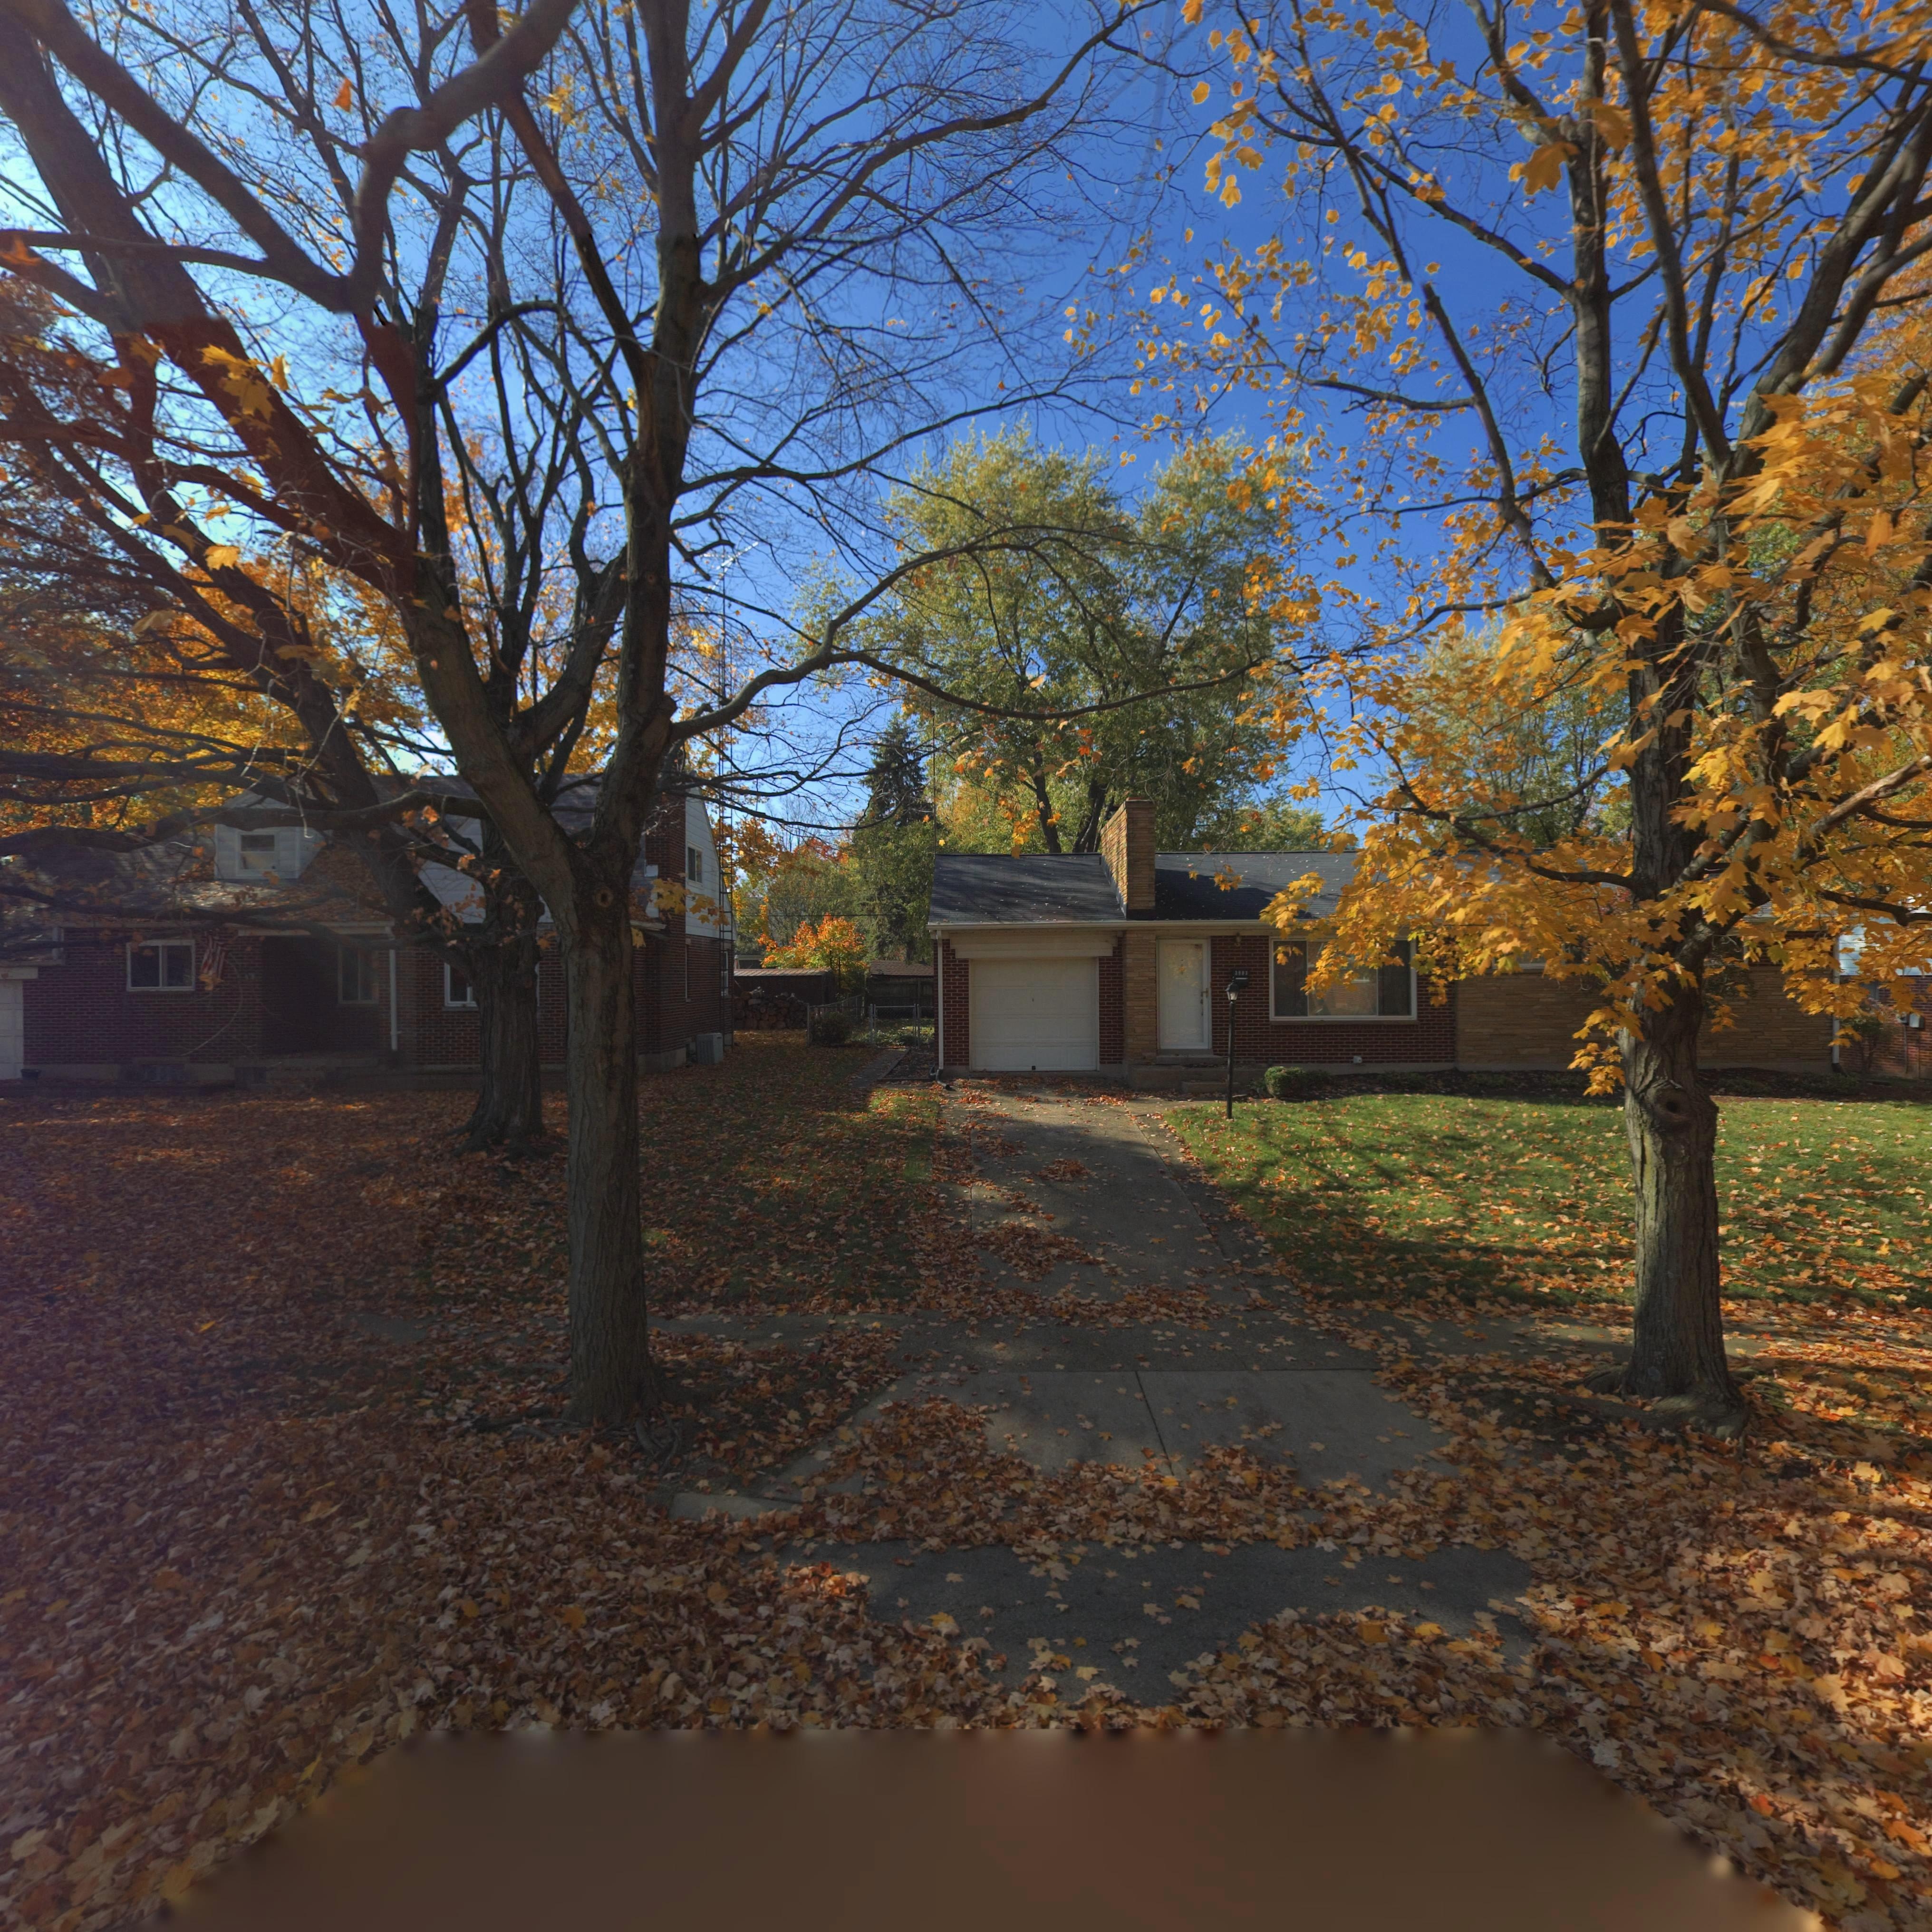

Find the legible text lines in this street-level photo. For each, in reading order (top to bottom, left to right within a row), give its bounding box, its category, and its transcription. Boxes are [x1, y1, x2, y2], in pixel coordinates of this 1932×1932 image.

[1234, 970, 1248, 976] StreetNumber: 29**